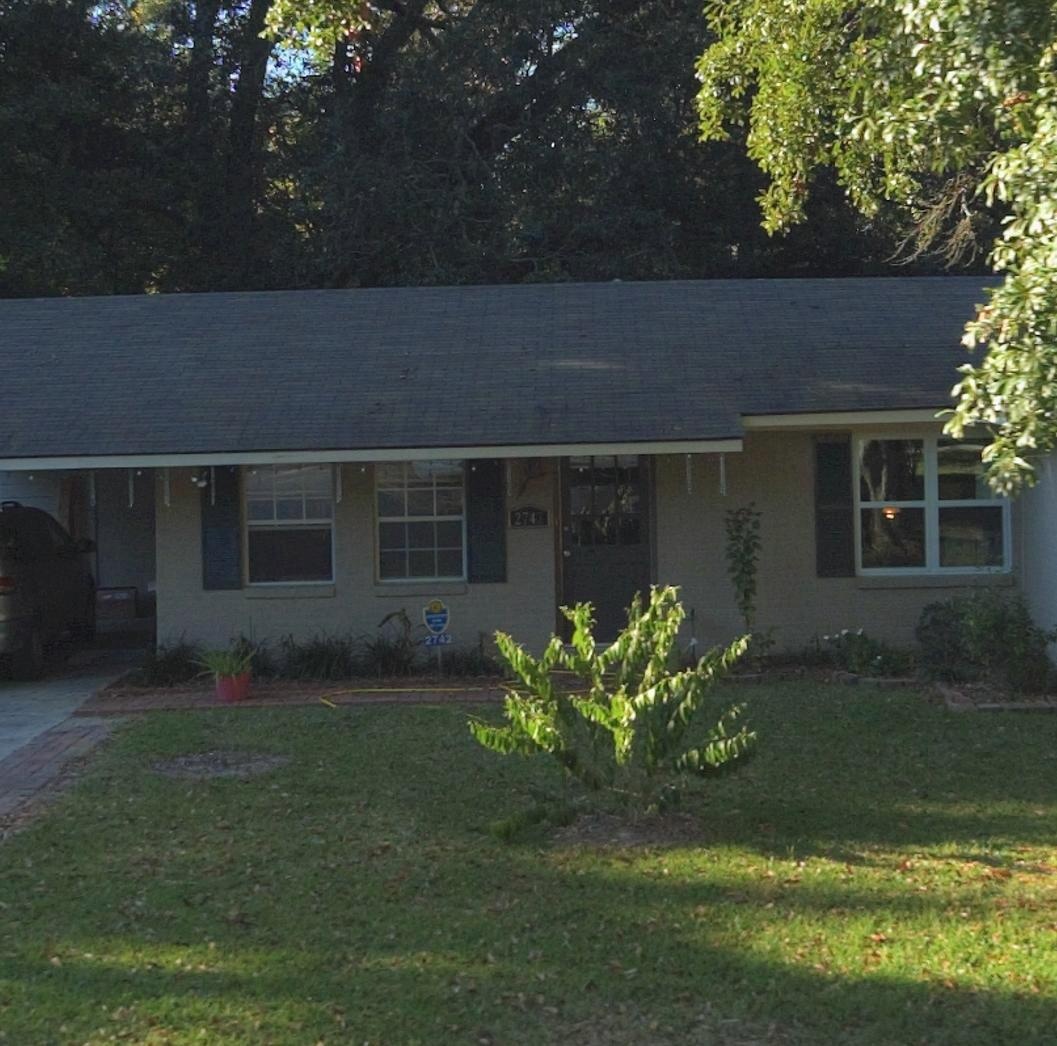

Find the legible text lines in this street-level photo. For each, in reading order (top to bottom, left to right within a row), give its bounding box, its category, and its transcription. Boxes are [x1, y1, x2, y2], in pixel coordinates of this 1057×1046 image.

[513, 511, 545, 526] StreetNumber: 2742
[424, 634, 454, 645] StreetNumber: 2742